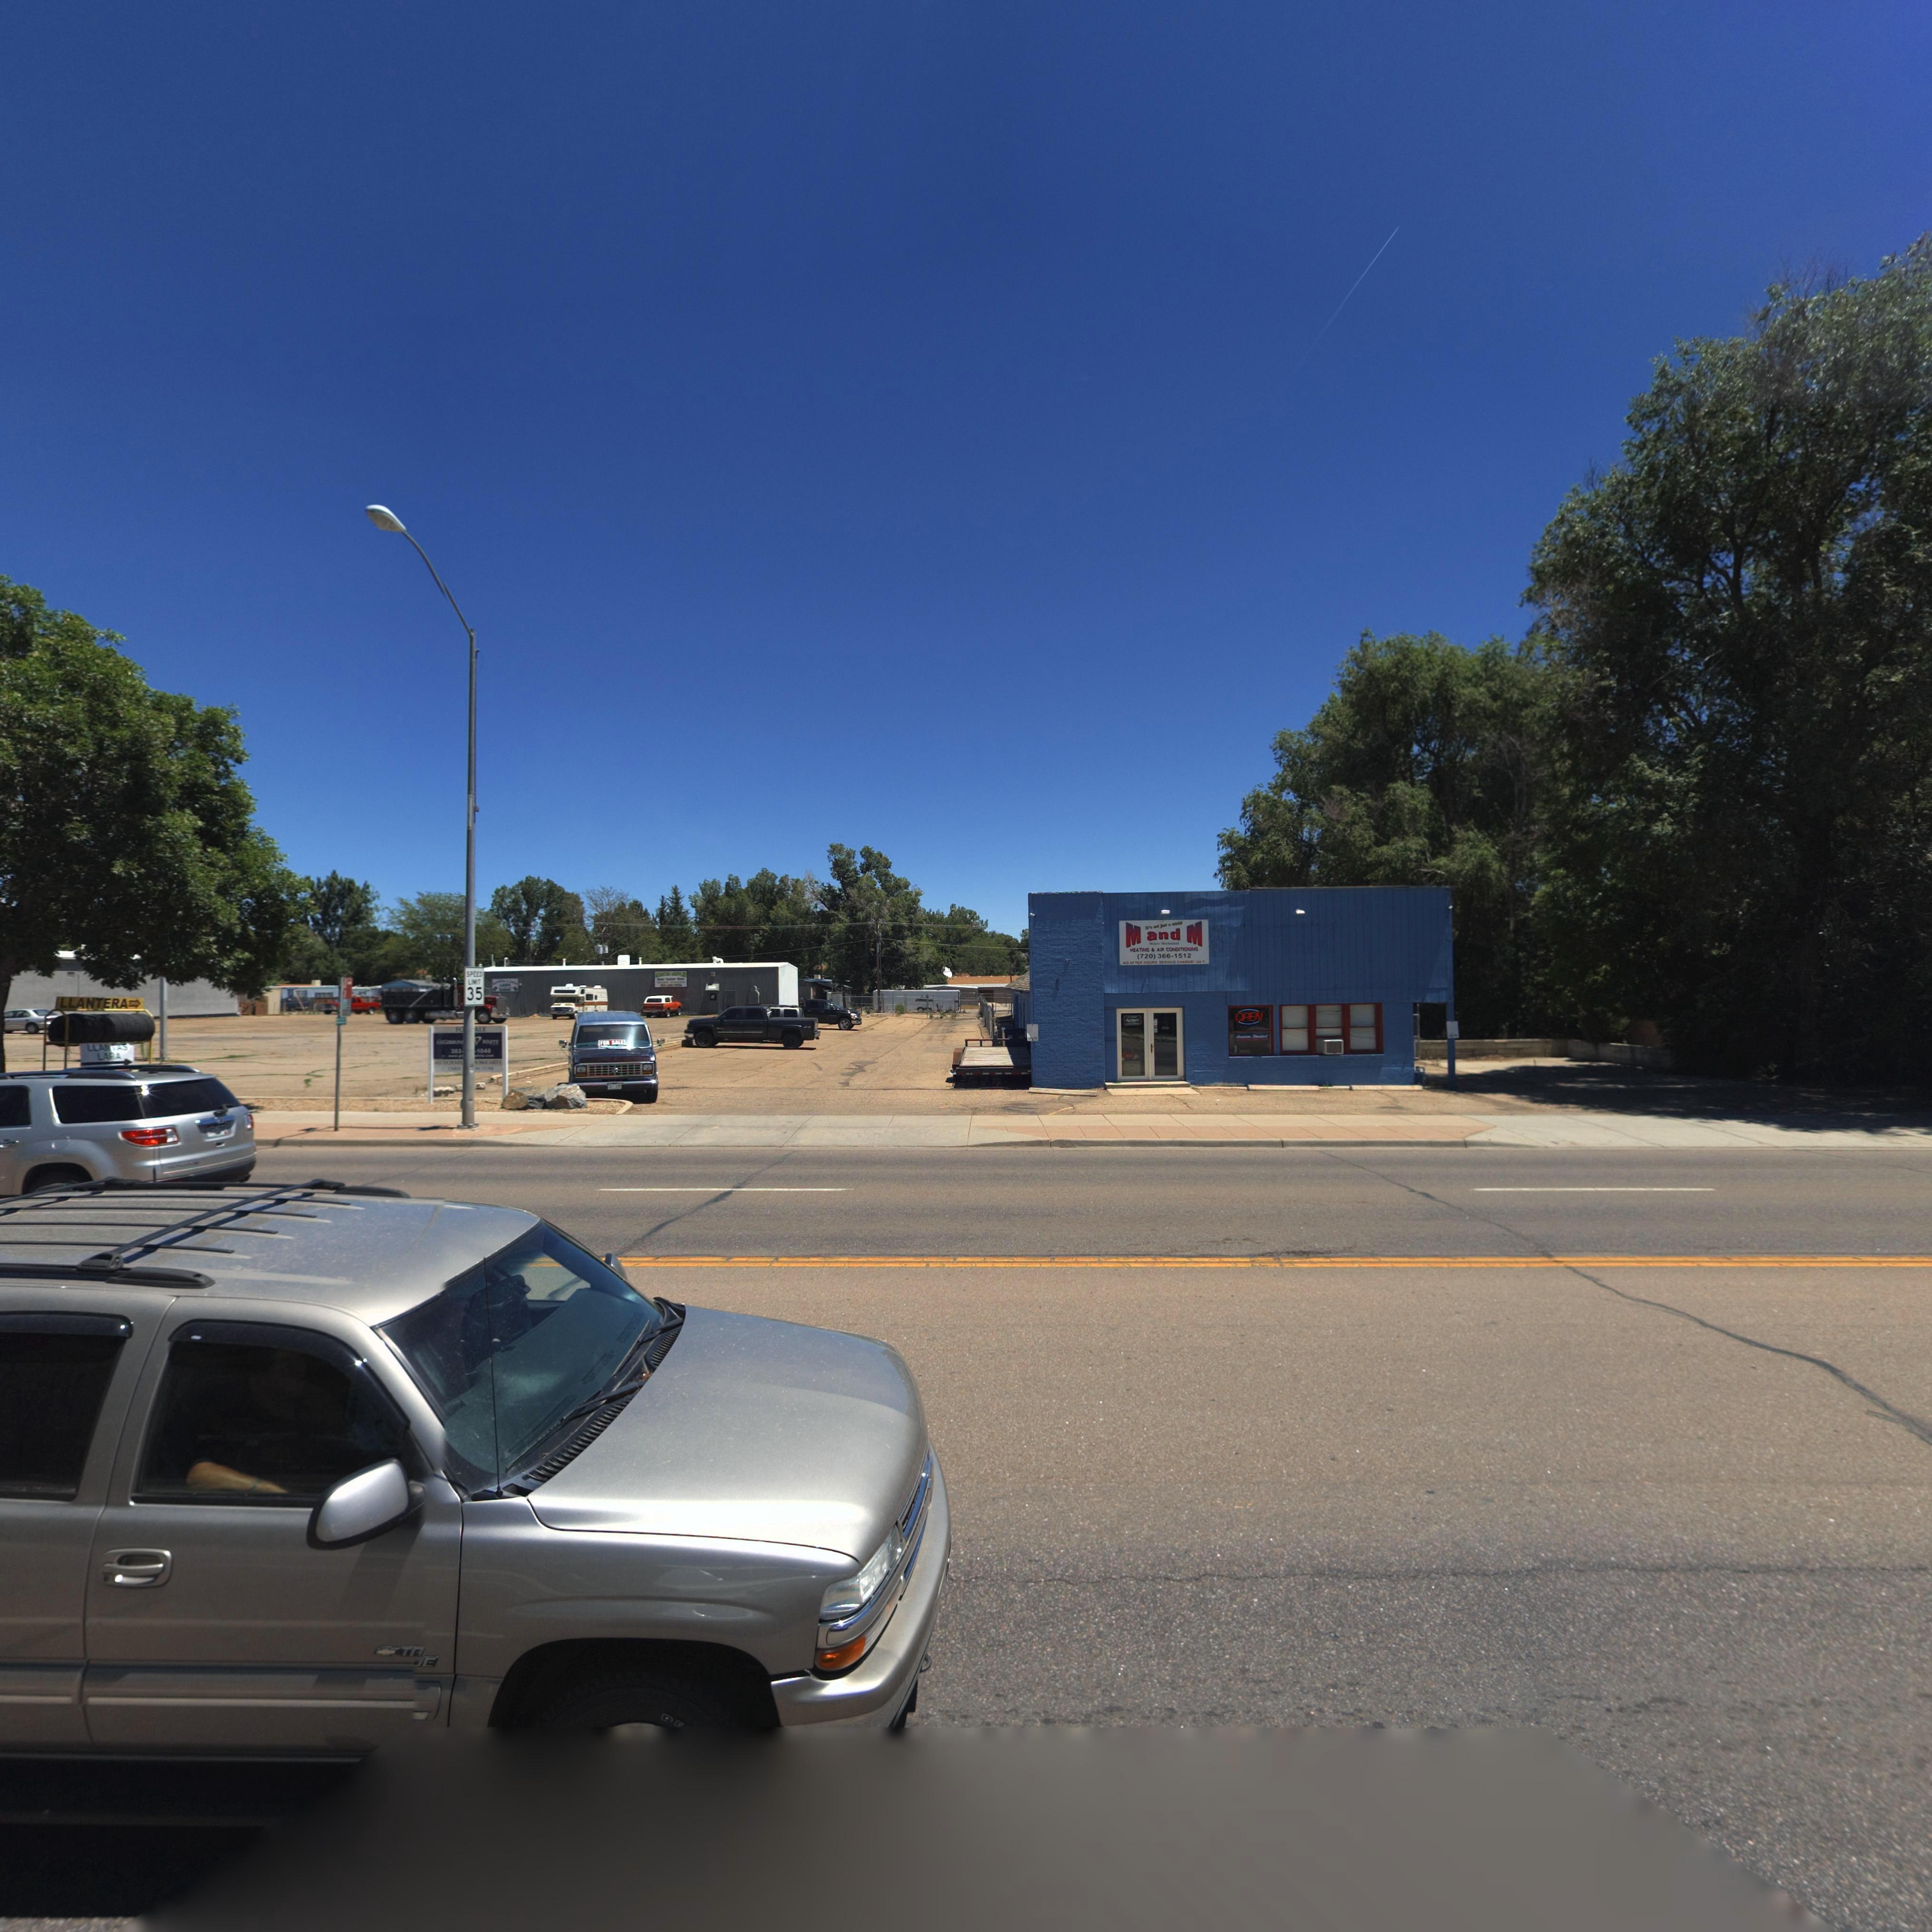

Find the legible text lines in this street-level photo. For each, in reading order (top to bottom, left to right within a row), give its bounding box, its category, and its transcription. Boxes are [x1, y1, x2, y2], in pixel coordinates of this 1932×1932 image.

[1125, 920, 1202, 948] BusinessName: M and M